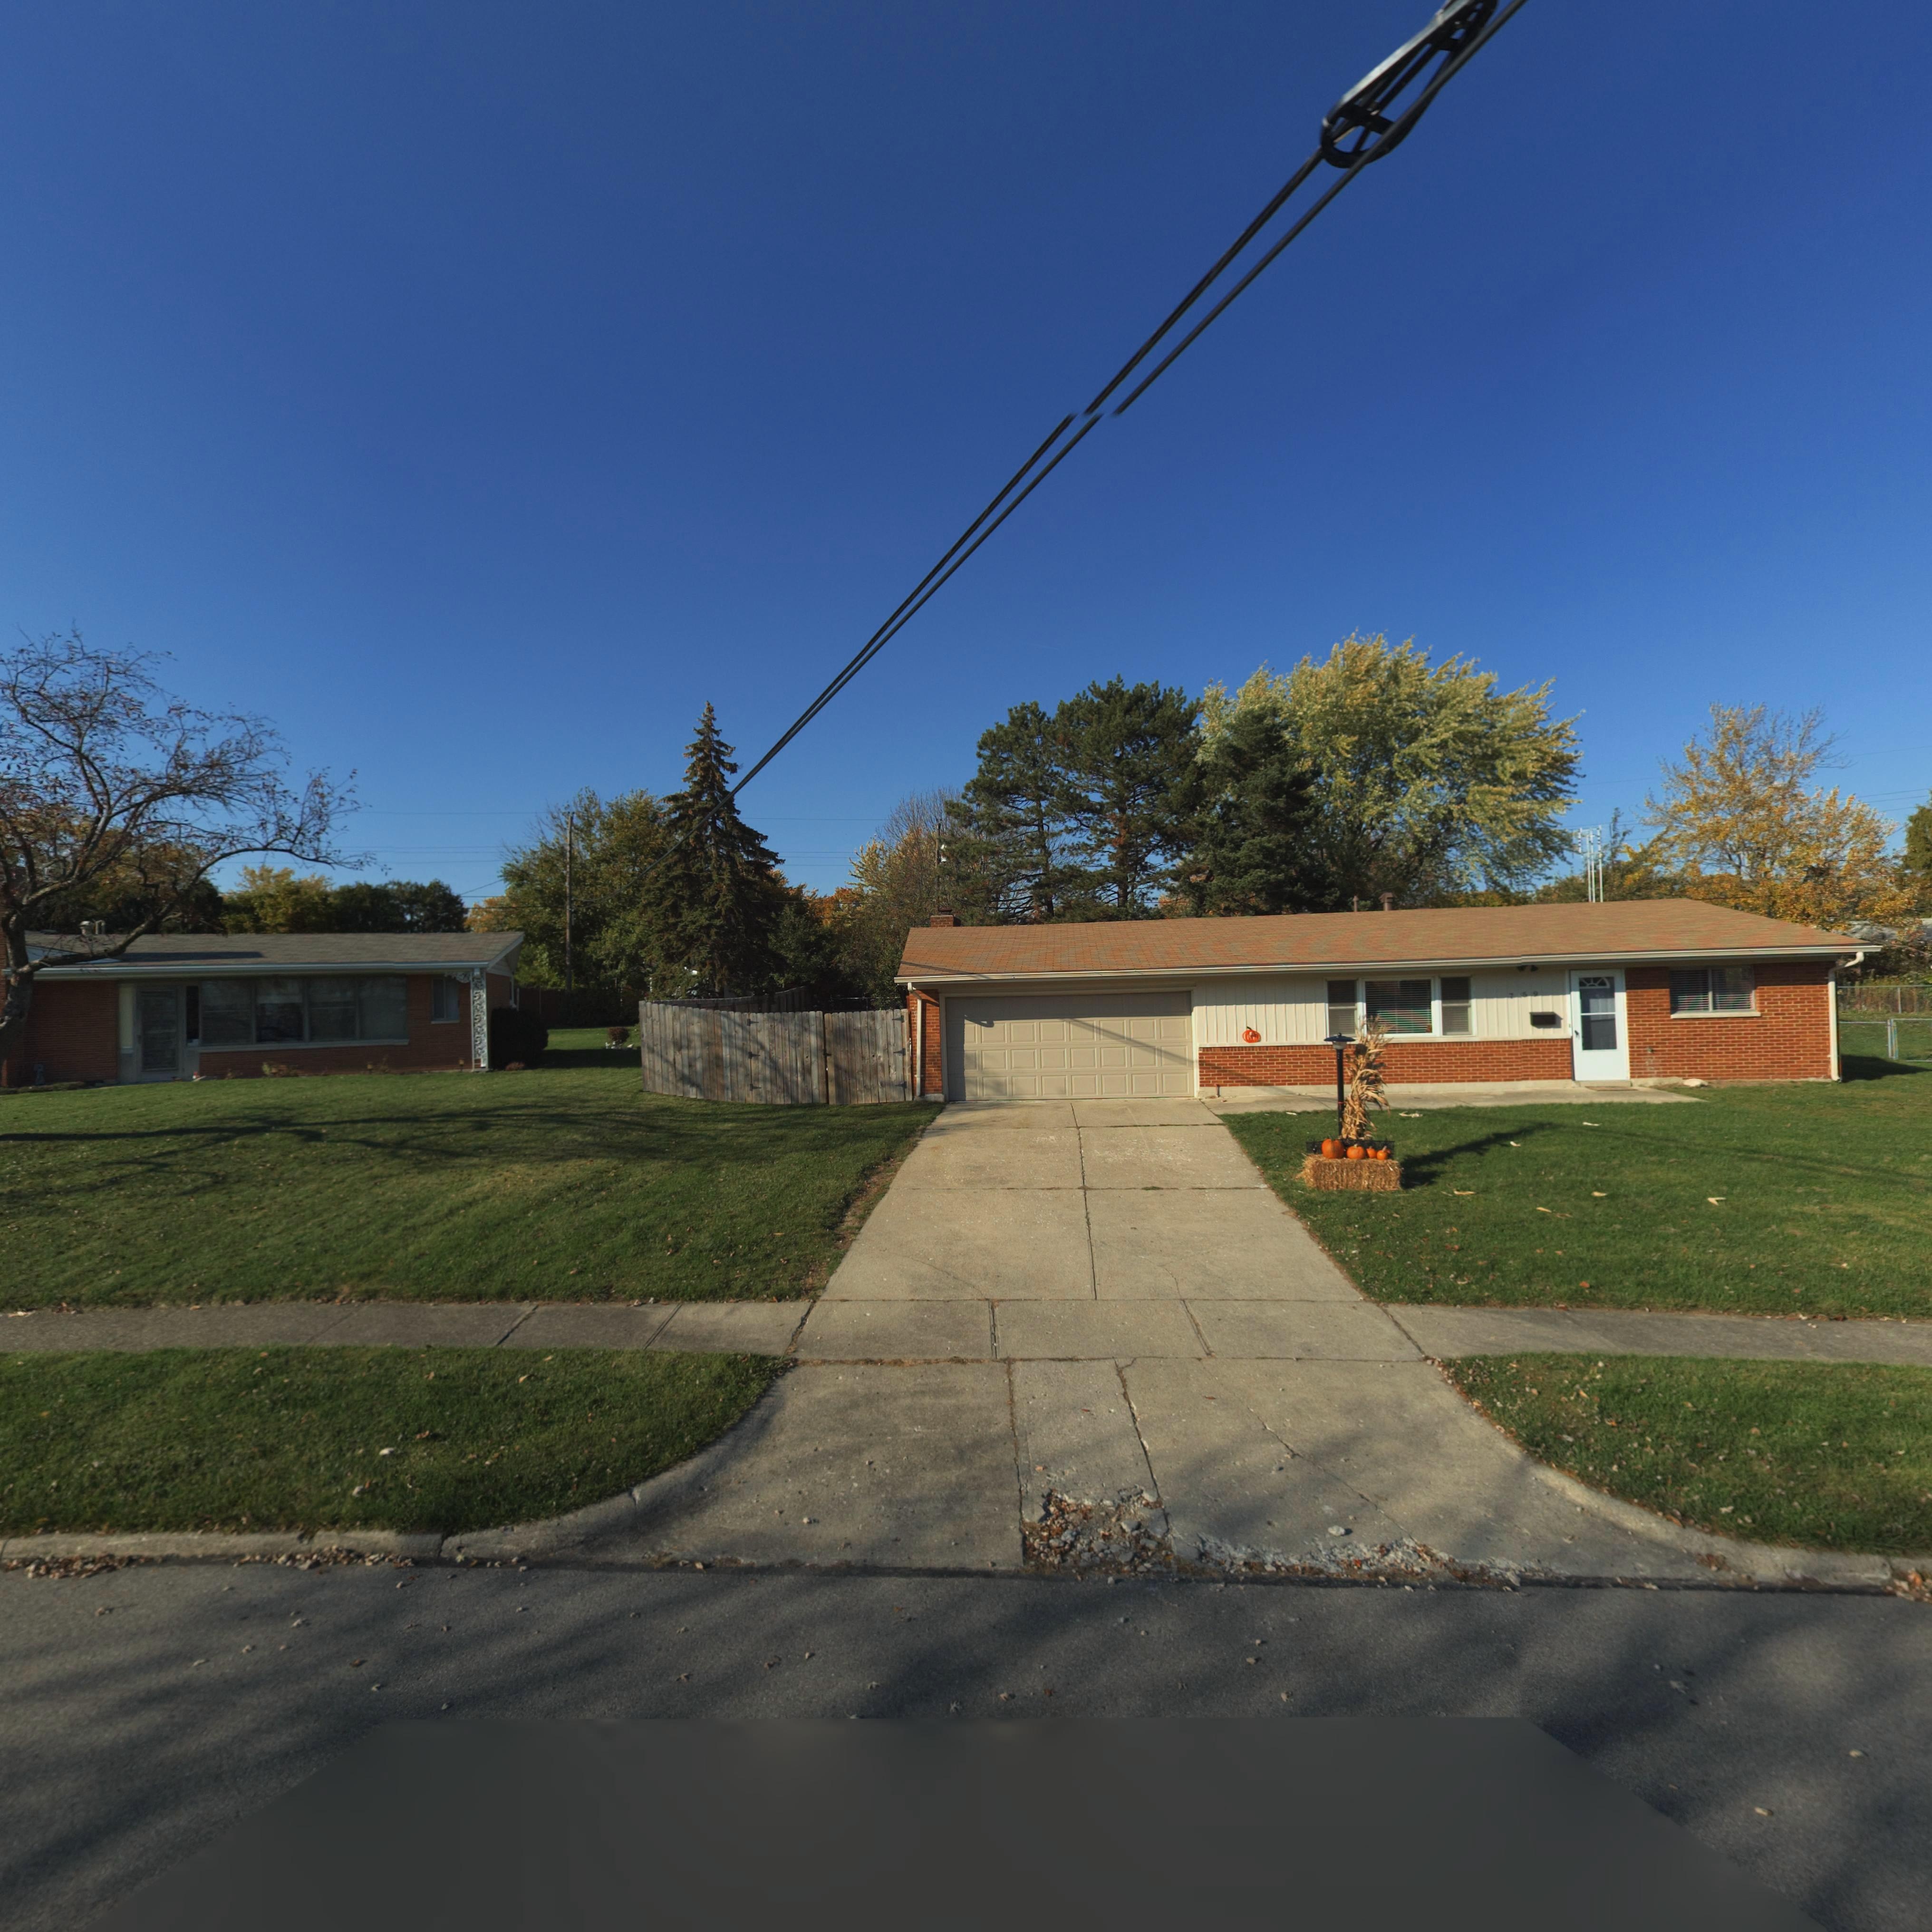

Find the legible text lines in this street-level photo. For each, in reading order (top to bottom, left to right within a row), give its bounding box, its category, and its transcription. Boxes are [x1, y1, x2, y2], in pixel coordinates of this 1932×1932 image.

[1508, 990, 1539, 1000] StreetNumber: 759